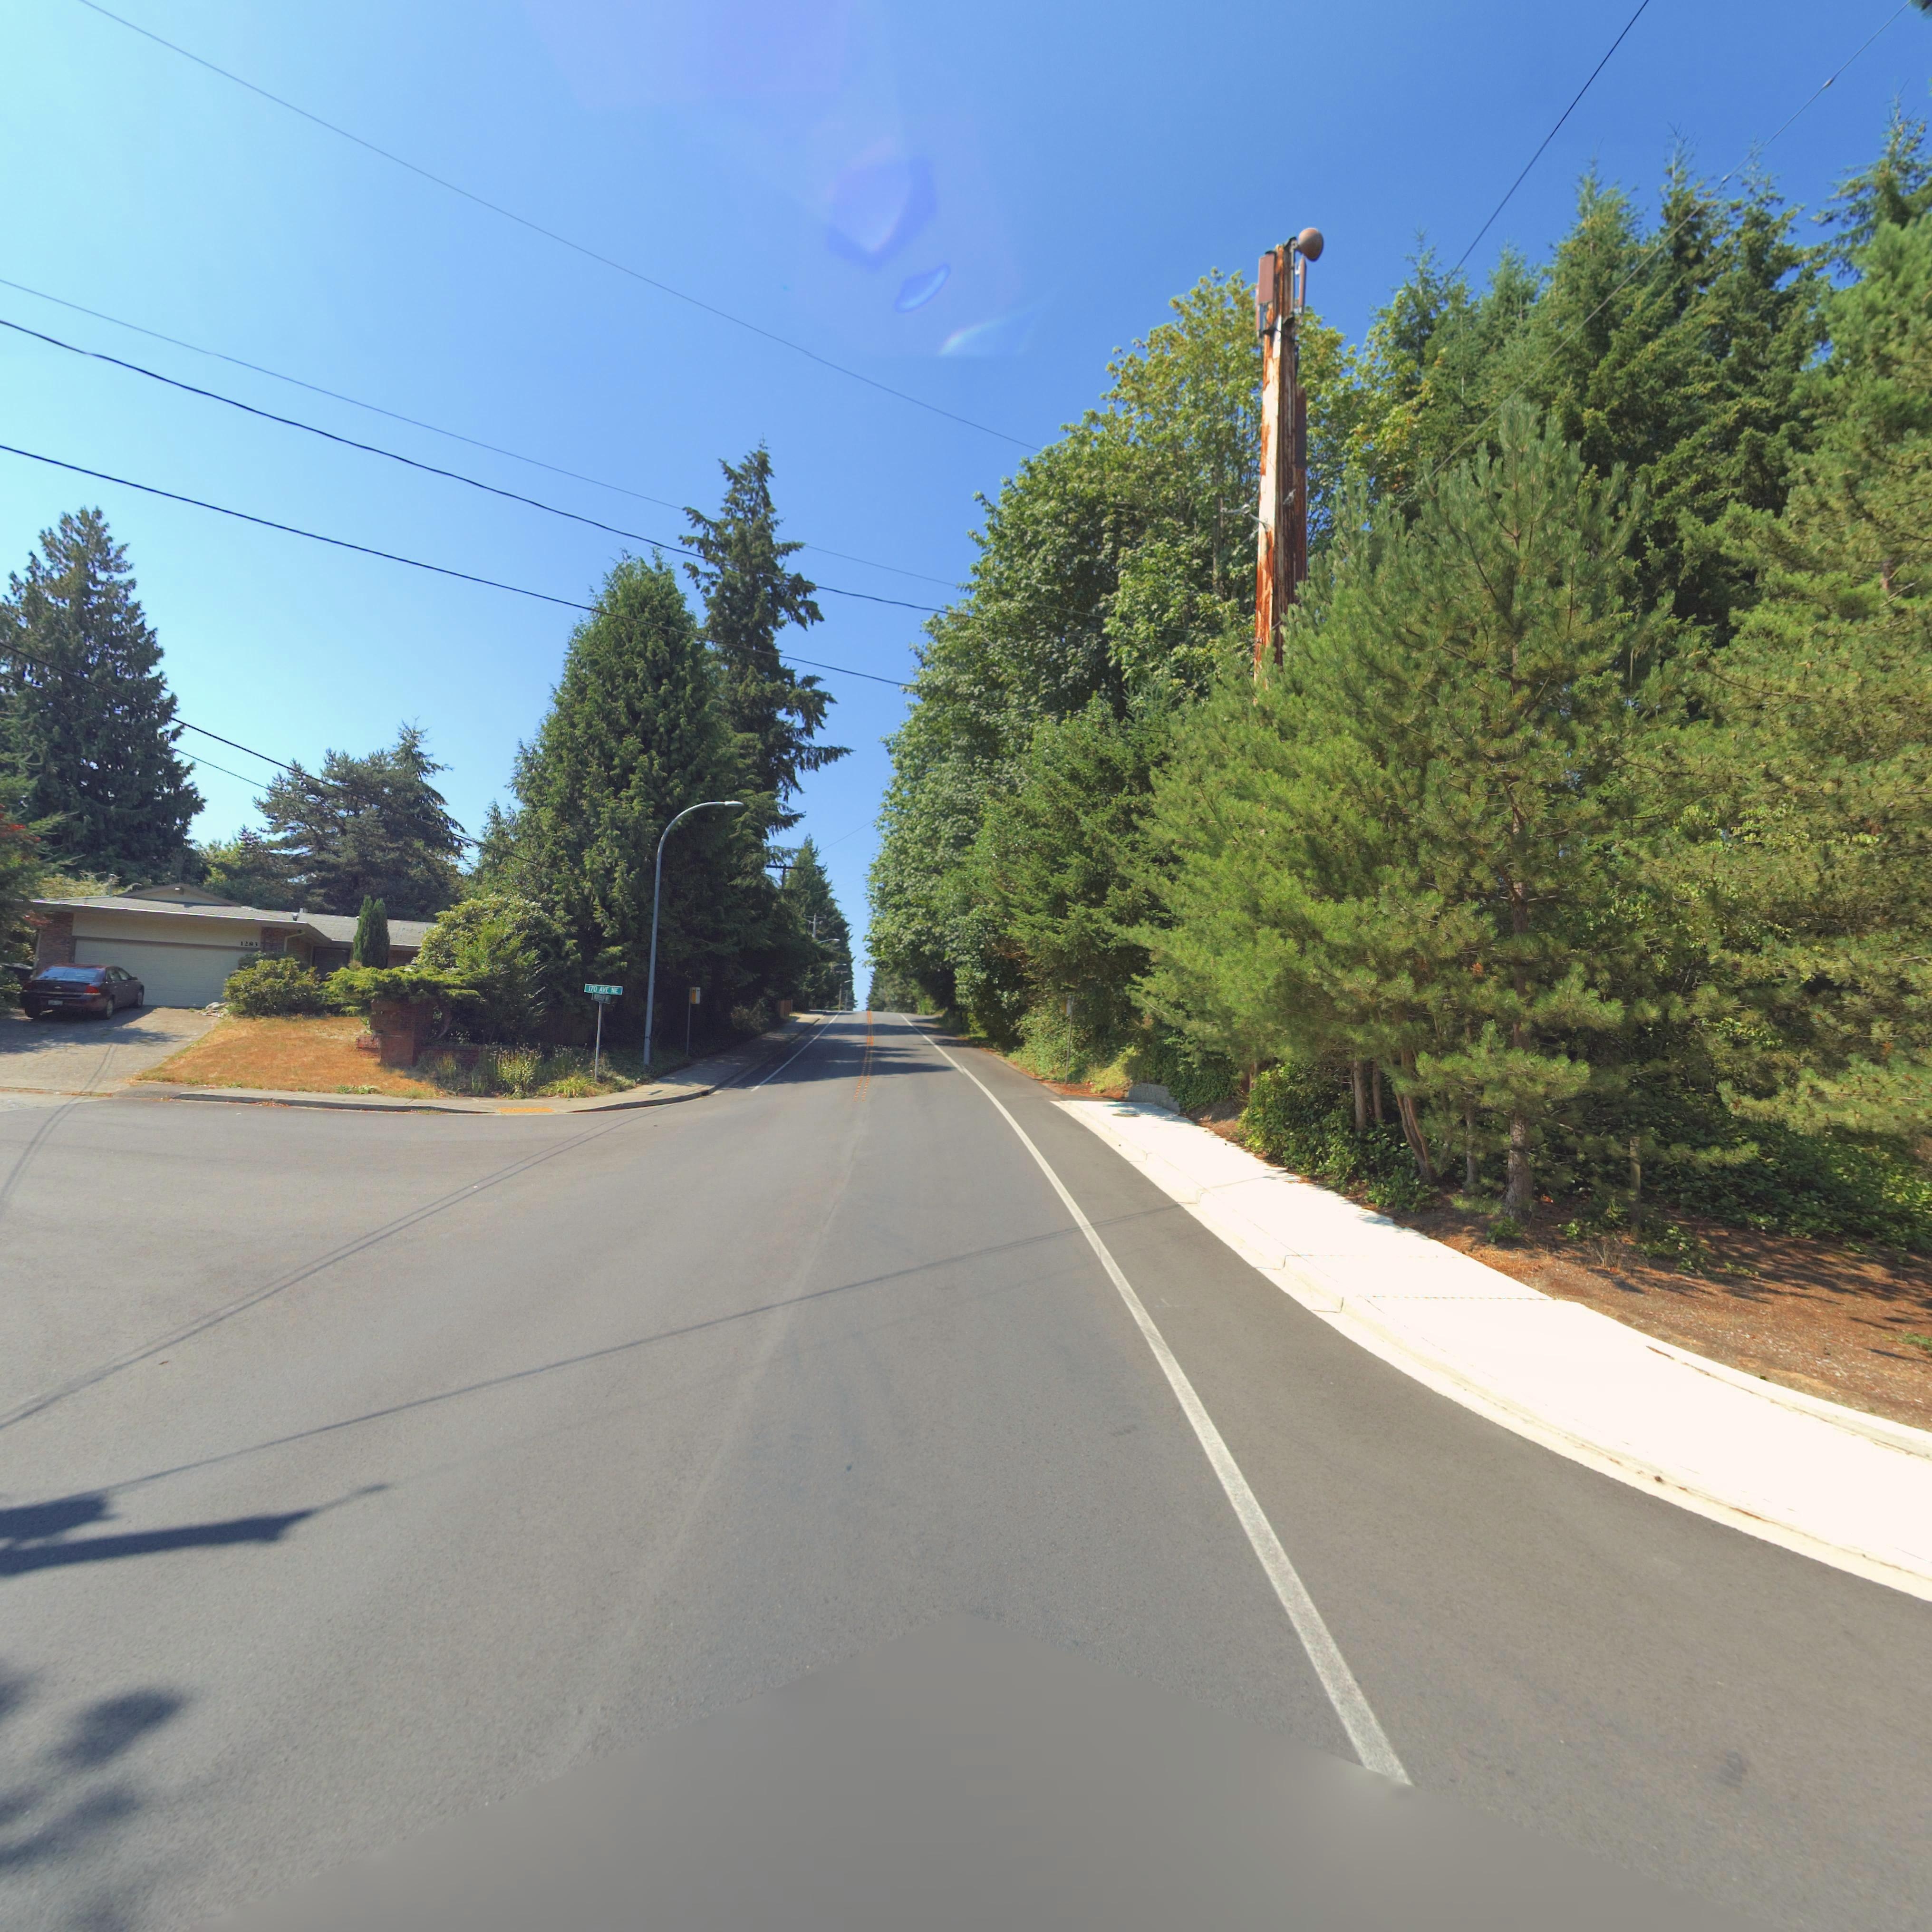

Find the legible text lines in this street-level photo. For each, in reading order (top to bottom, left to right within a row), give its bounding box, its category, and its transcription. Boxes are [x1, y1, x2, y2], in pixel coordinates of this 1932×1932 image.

[587, 984, 619, 994] StreetName: 170 AVE NE